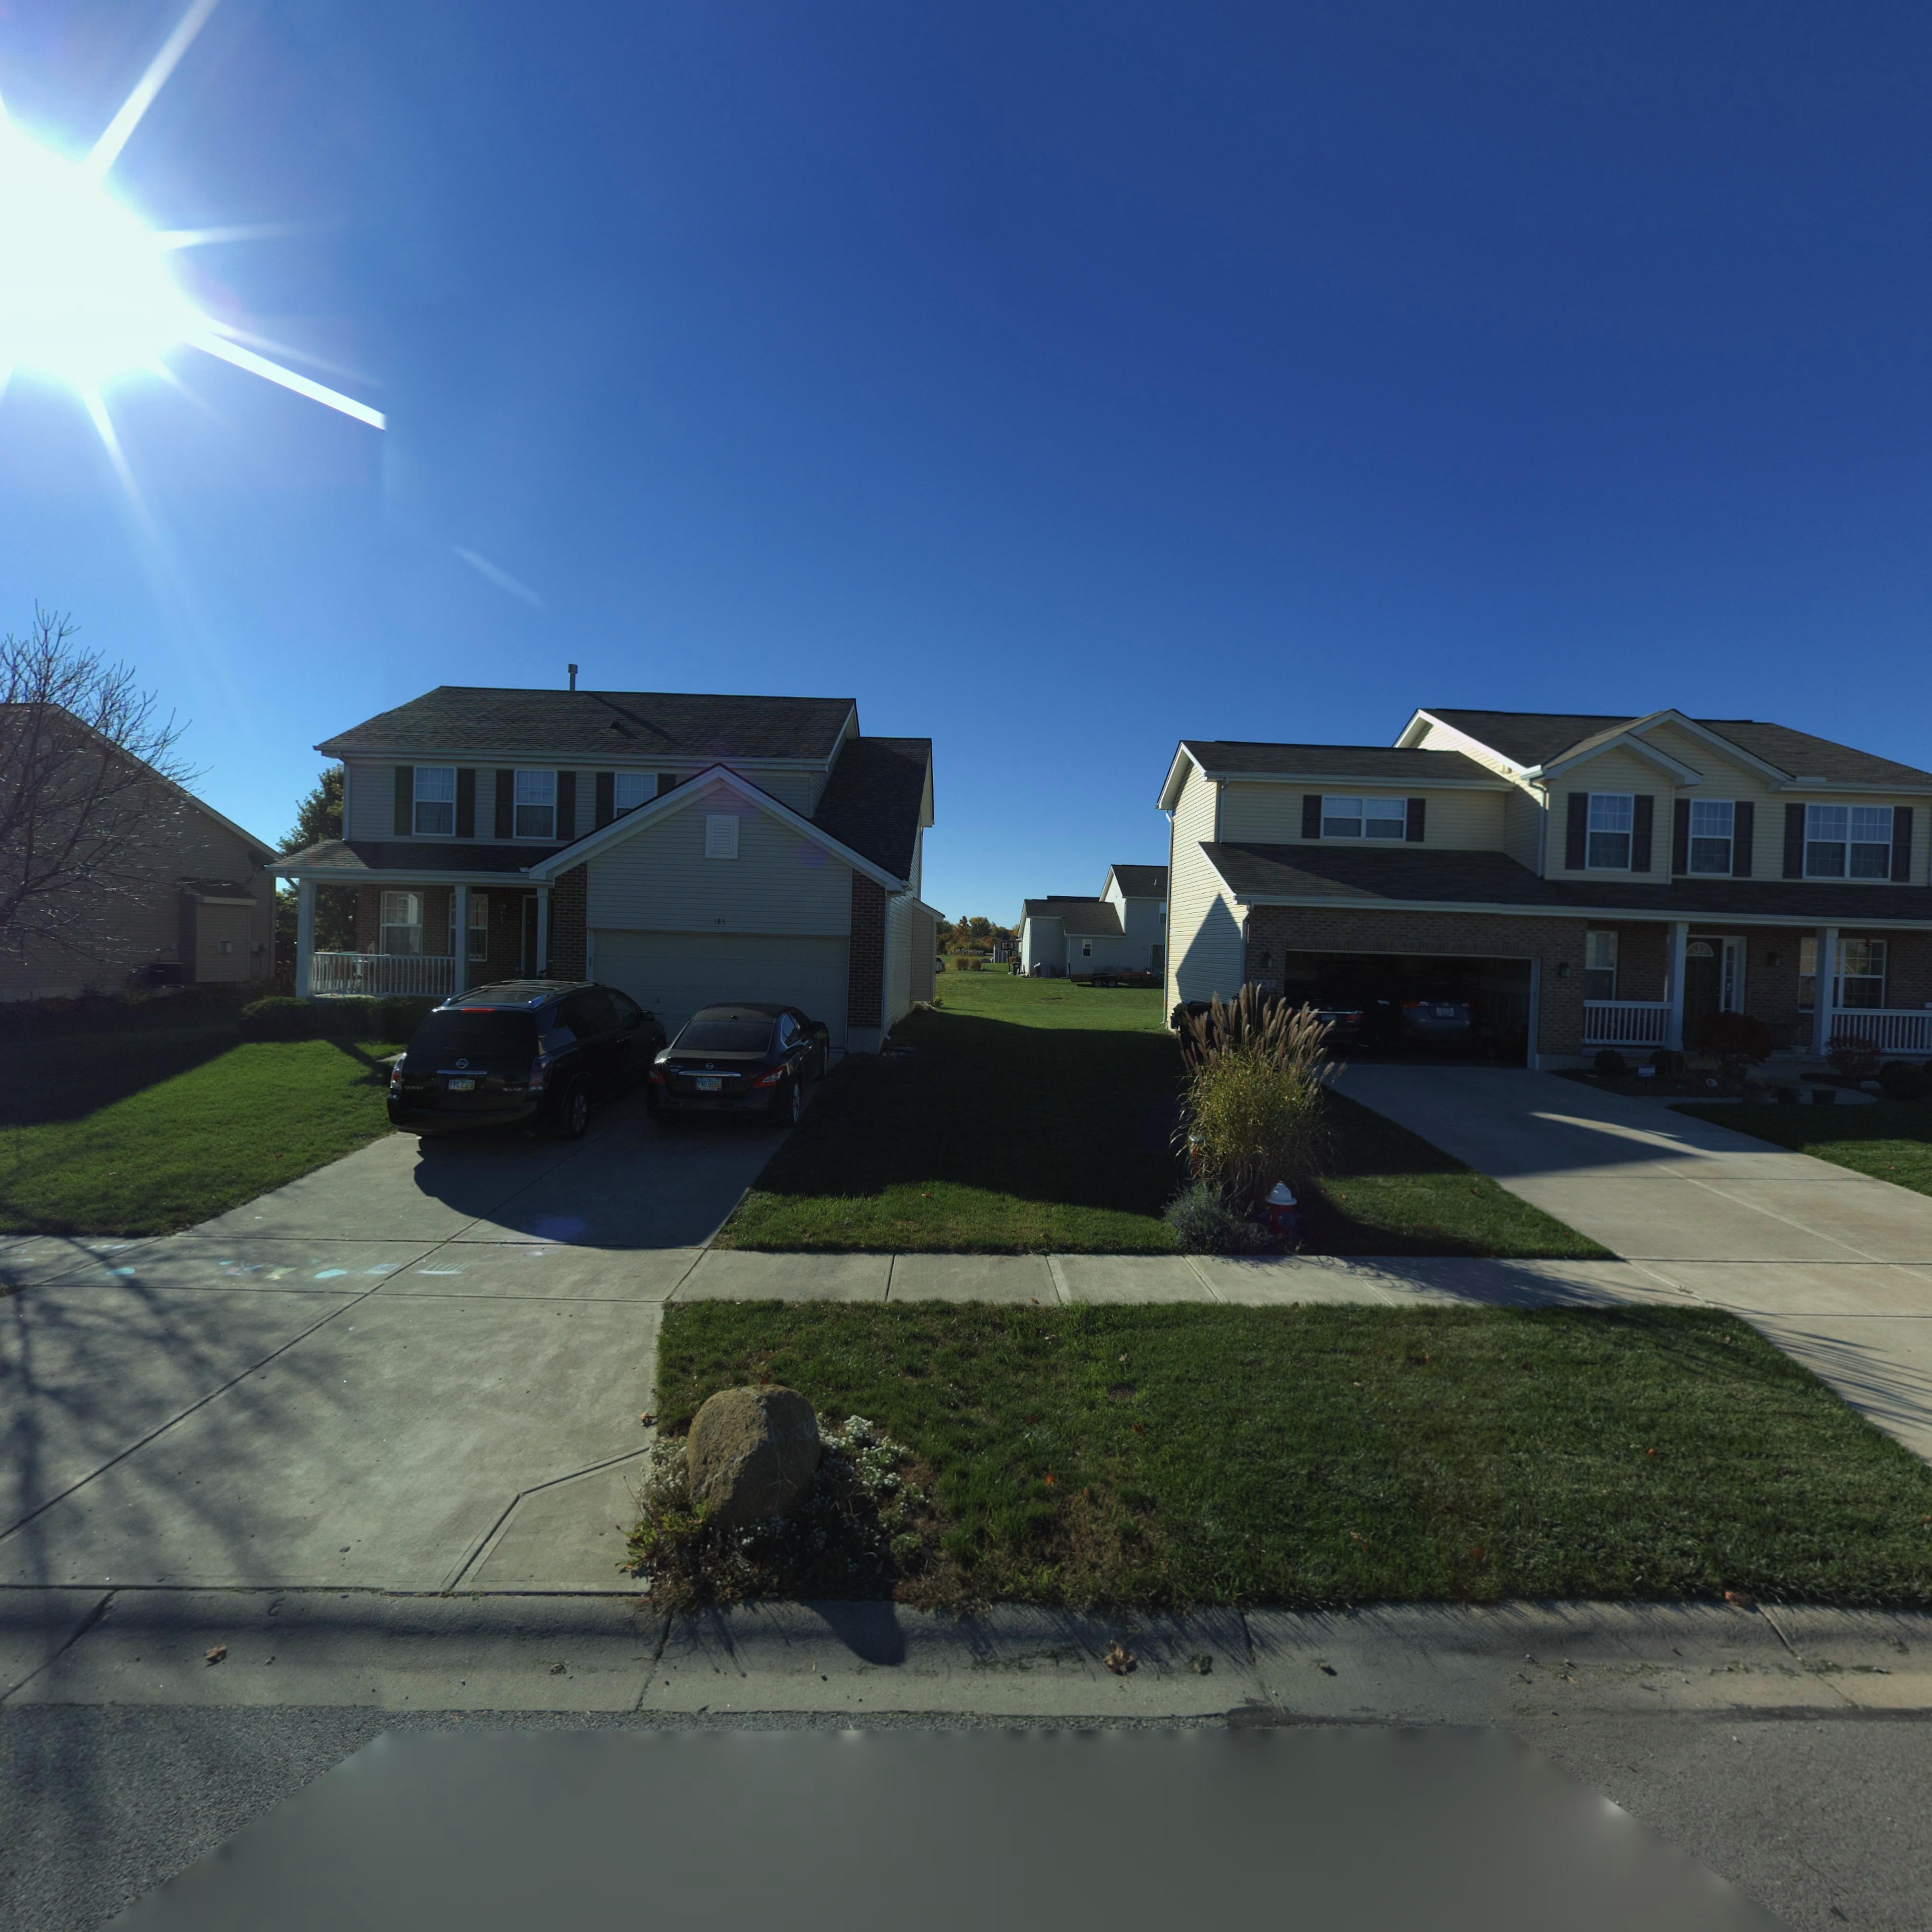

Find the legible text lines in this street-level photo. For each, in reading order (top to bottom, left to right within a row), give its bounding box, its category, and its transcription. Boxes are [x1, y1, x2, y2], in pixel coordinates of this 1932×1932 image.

[714, 918, 725, 925] StreetNumber: 185
[1256, 980, 1273, 987] StreetNumber: 187